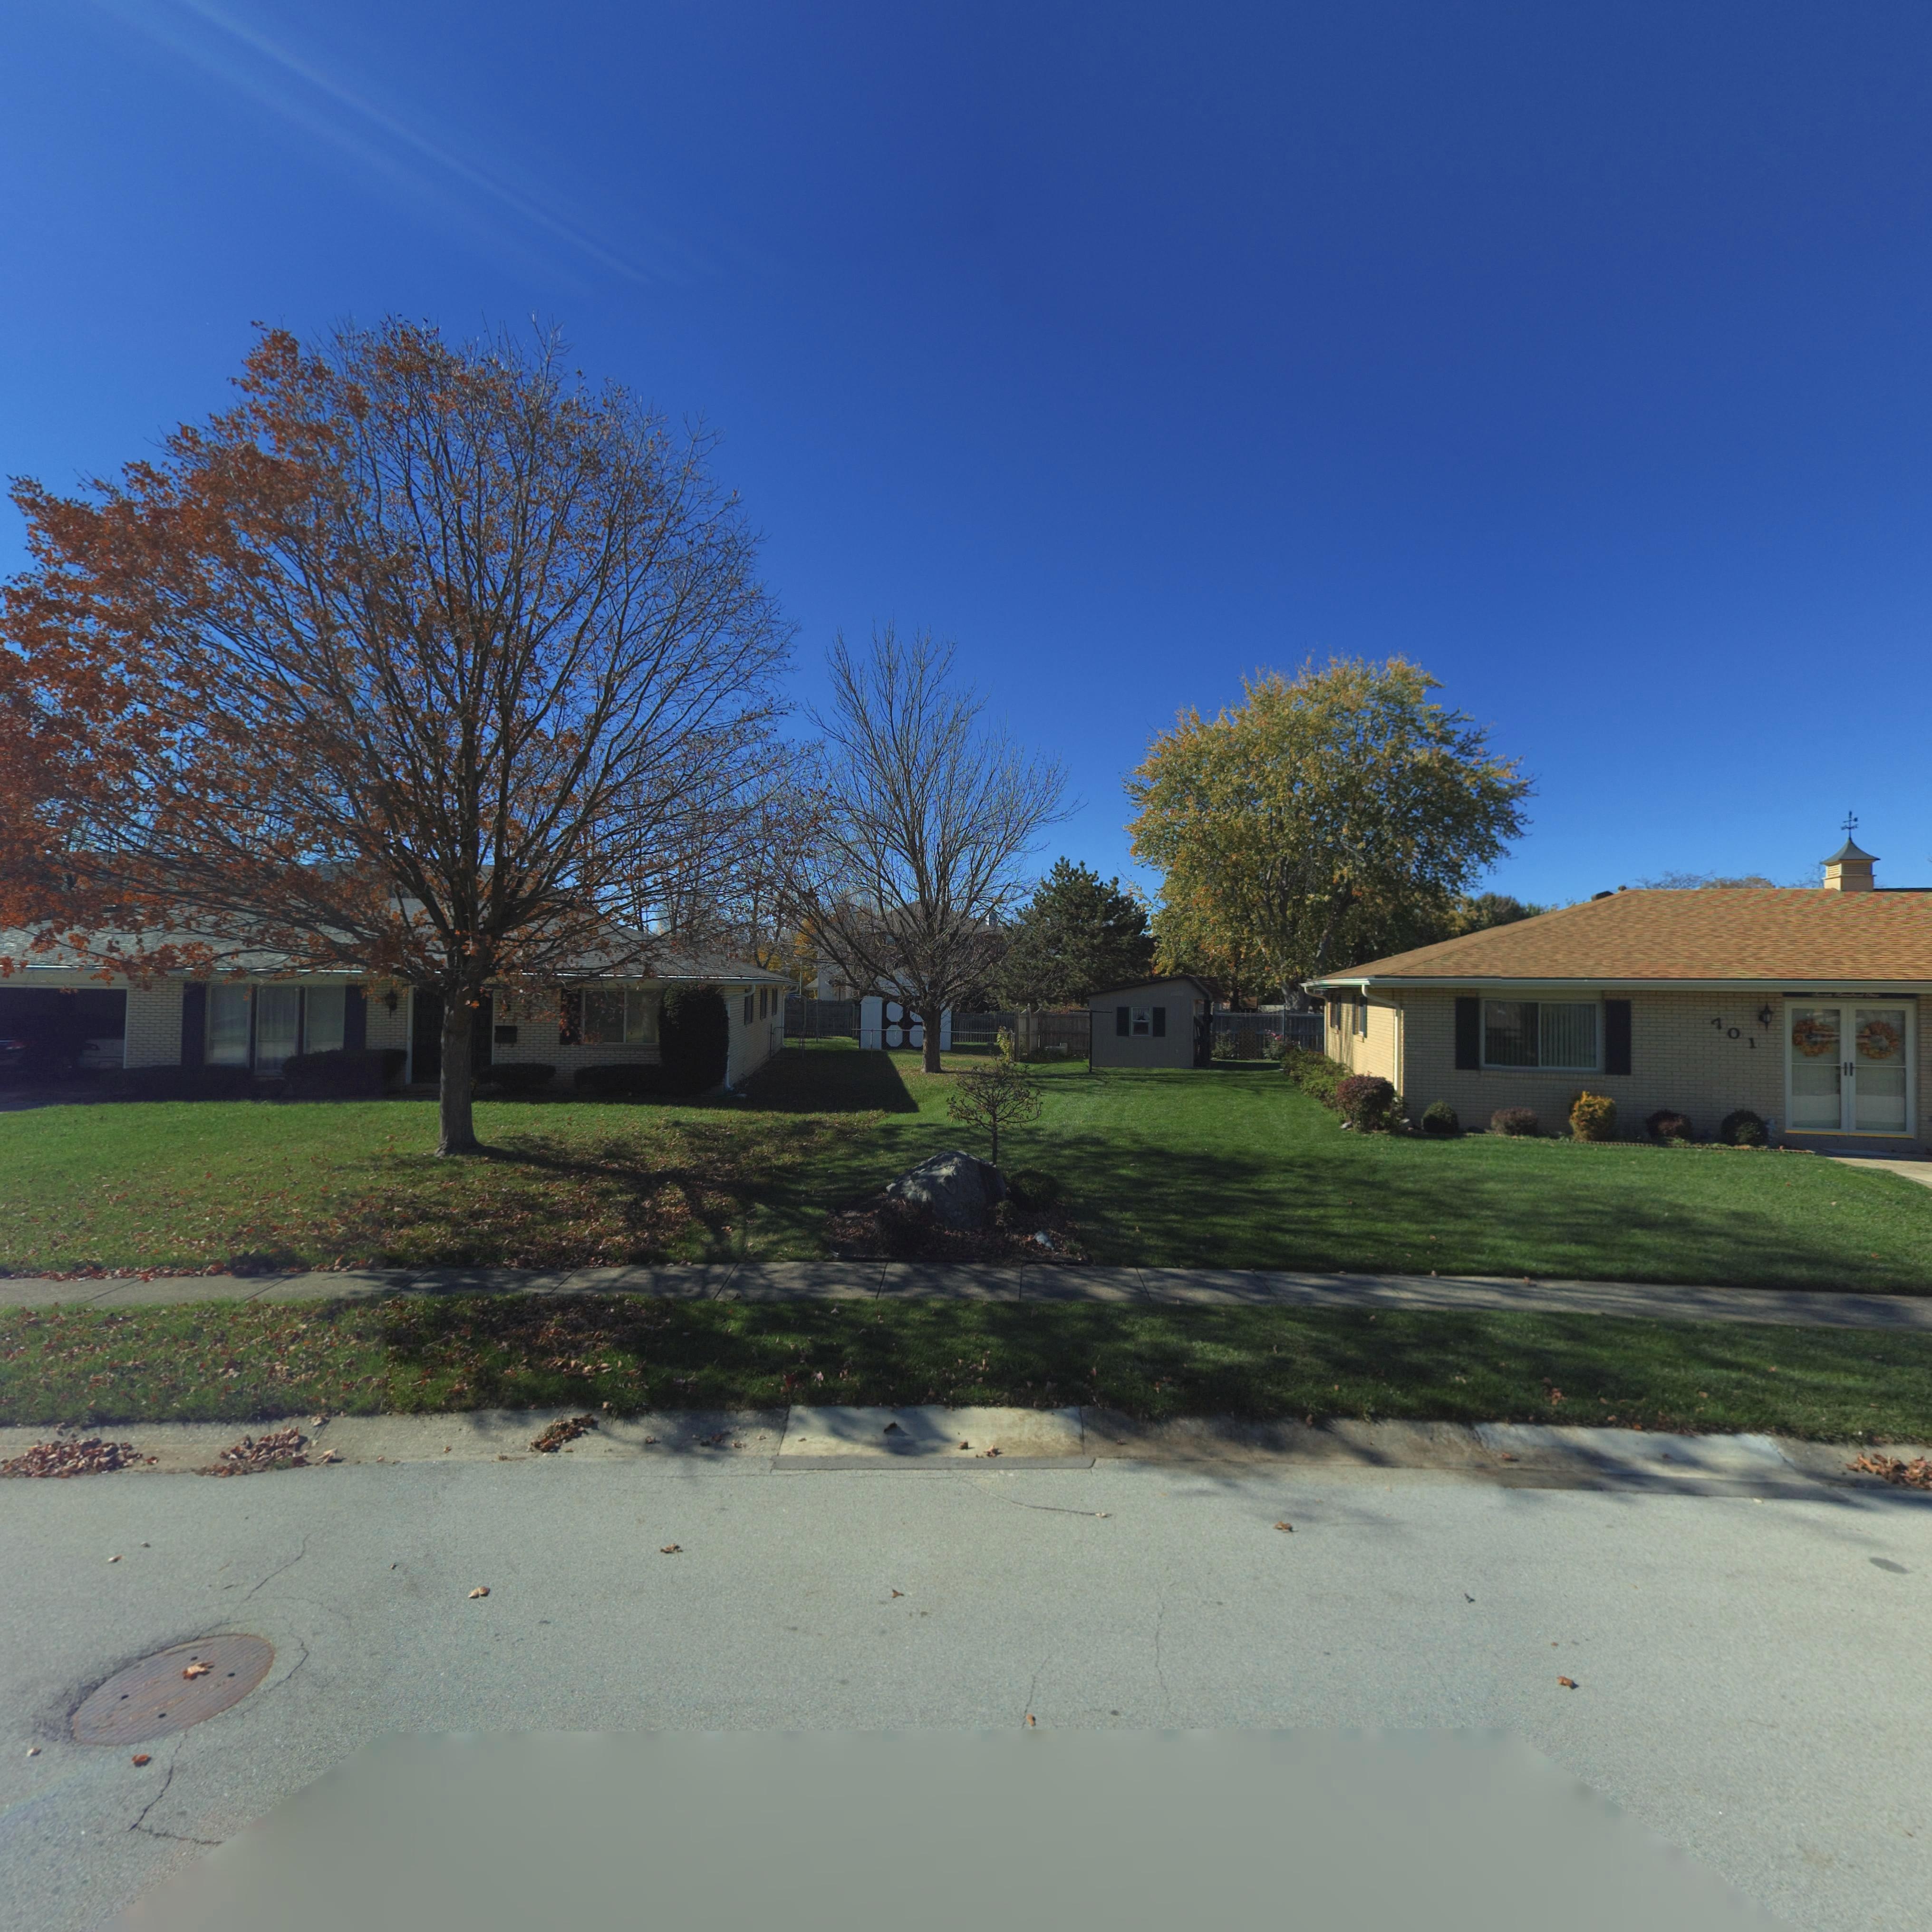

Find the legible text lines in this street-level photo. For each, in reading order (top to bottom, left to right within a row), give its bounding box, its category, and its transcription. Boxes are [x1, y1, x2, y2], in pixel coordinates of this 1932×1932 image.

[1709, 1016, 1757, 1049] StreetNumber: 701